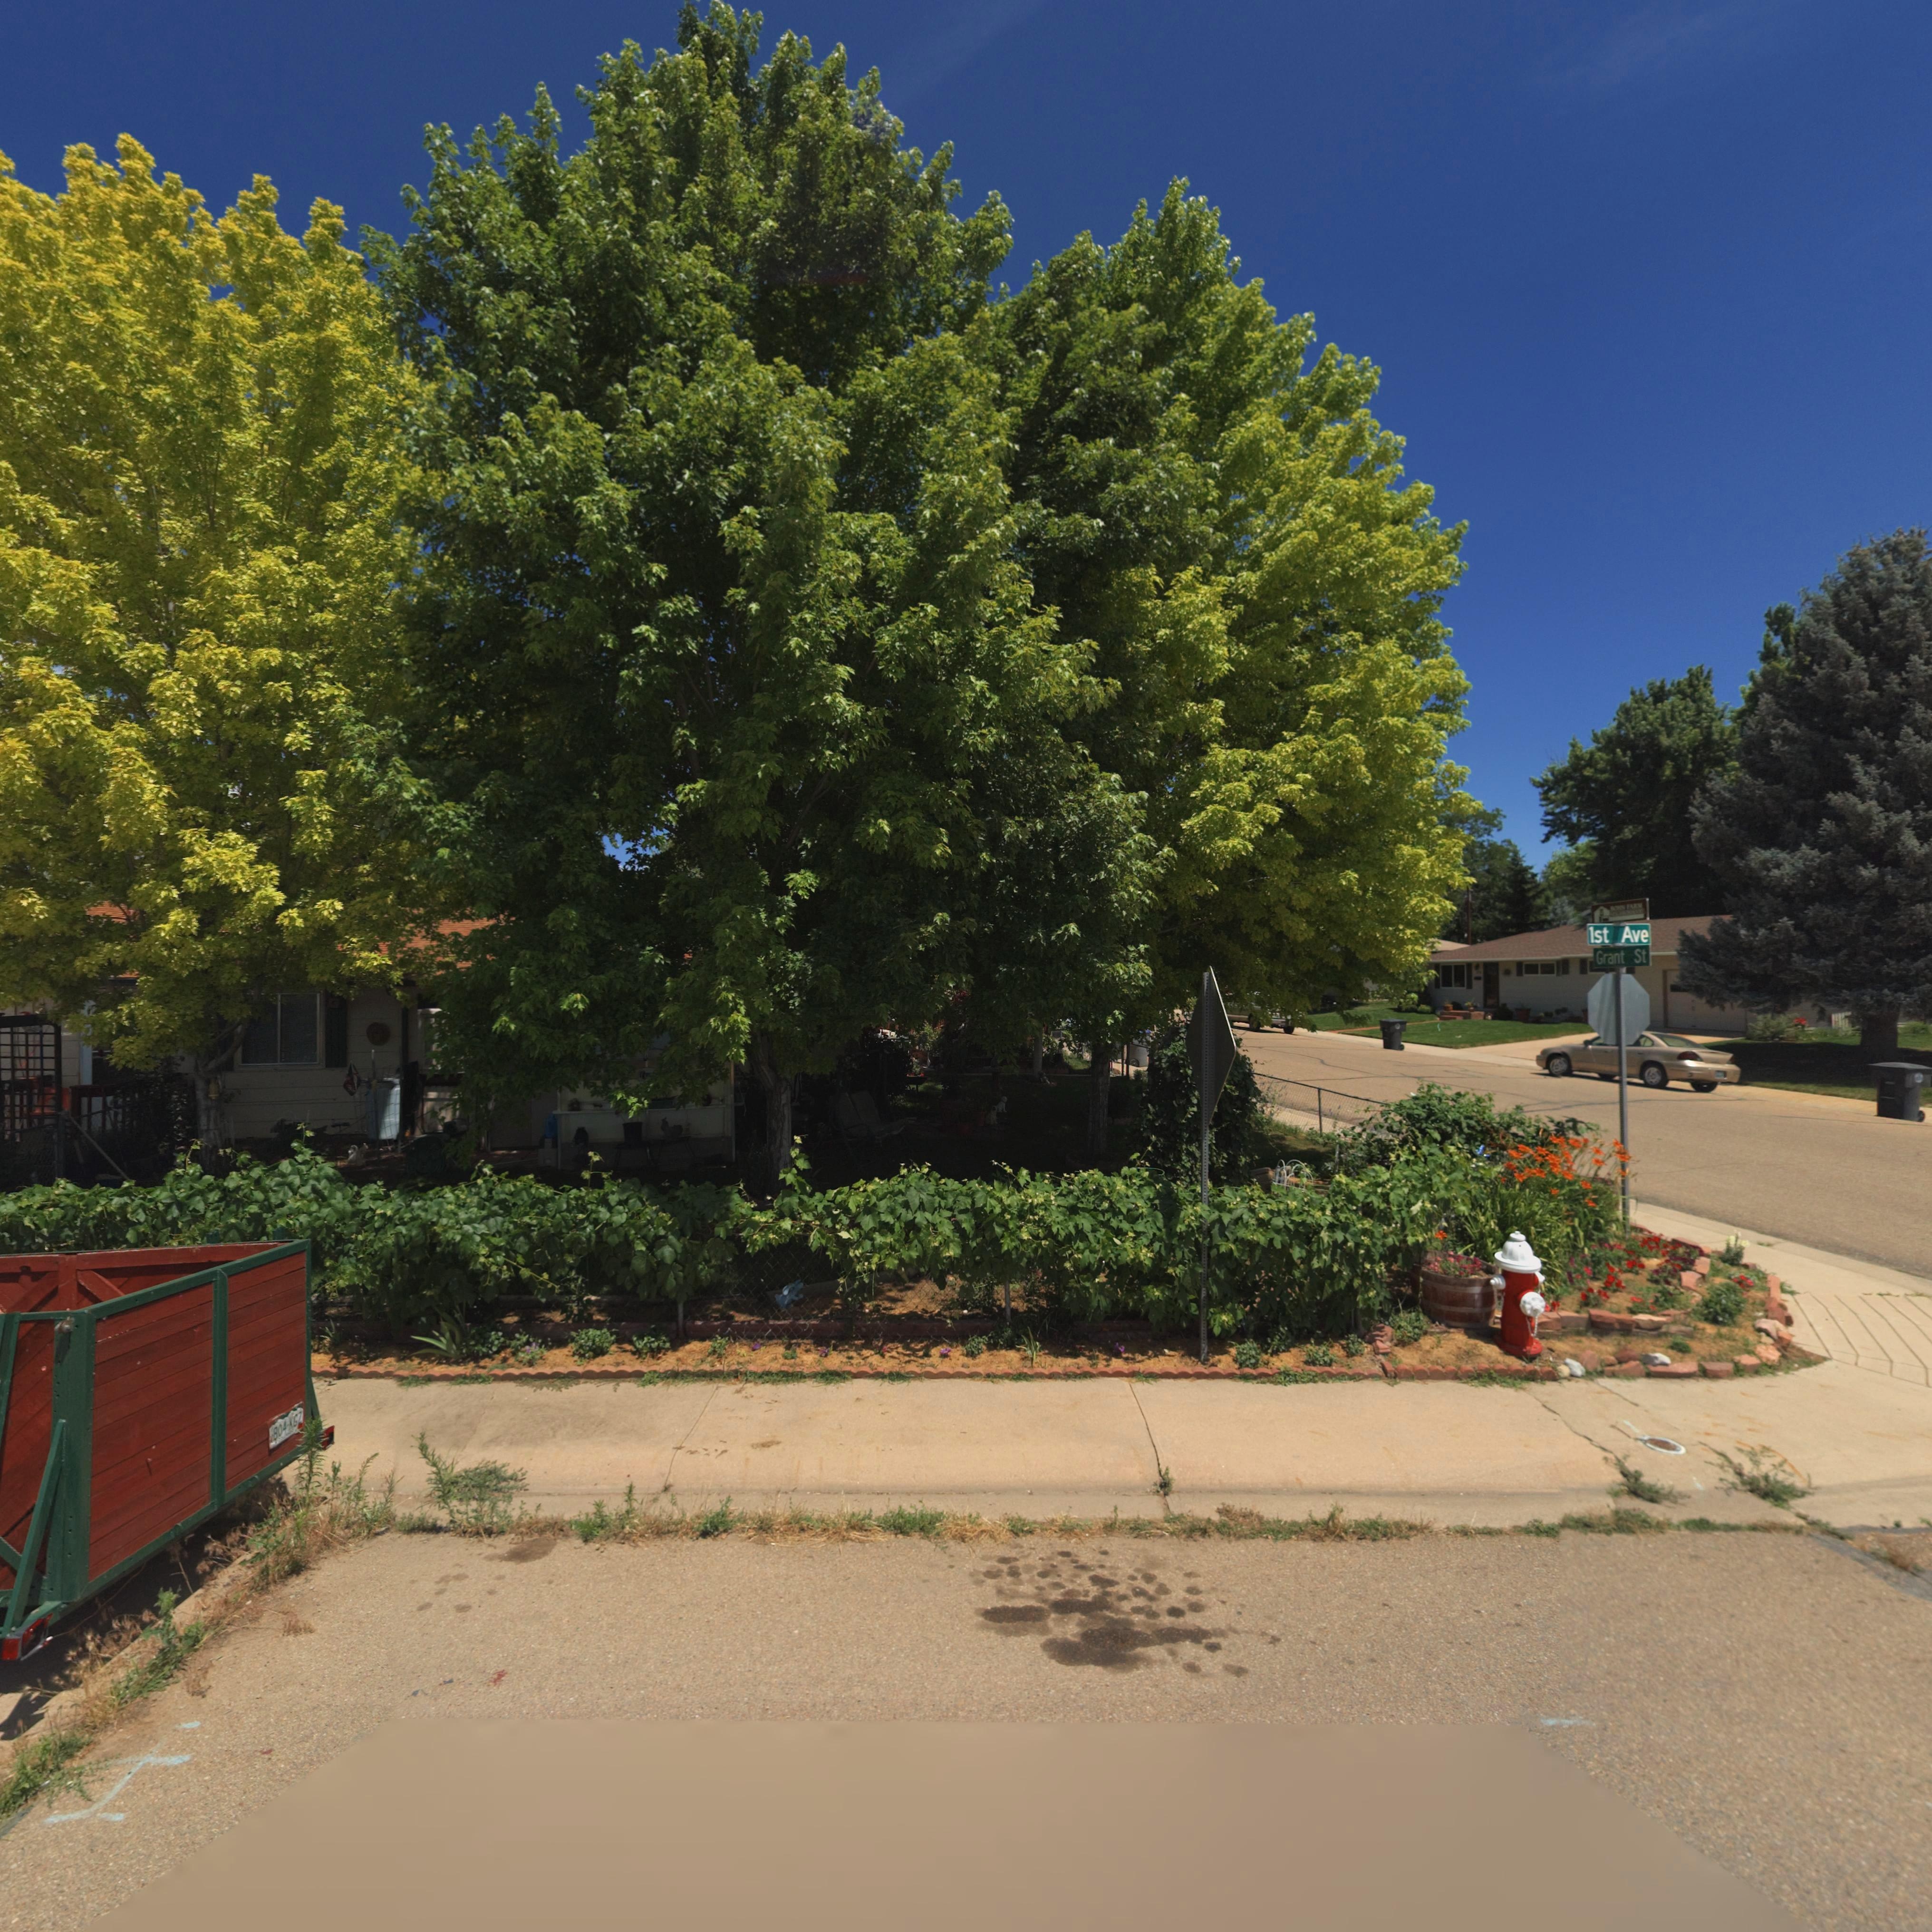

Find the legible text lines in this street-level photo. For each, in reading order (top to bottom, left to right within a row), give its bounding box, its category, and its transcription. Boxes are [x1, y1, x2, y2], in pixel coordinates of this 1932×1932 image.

[1588, 925, 1649, 943] StreetName: 1st Ave
[1596, 947, 1648, 965] StreetName: Grant St